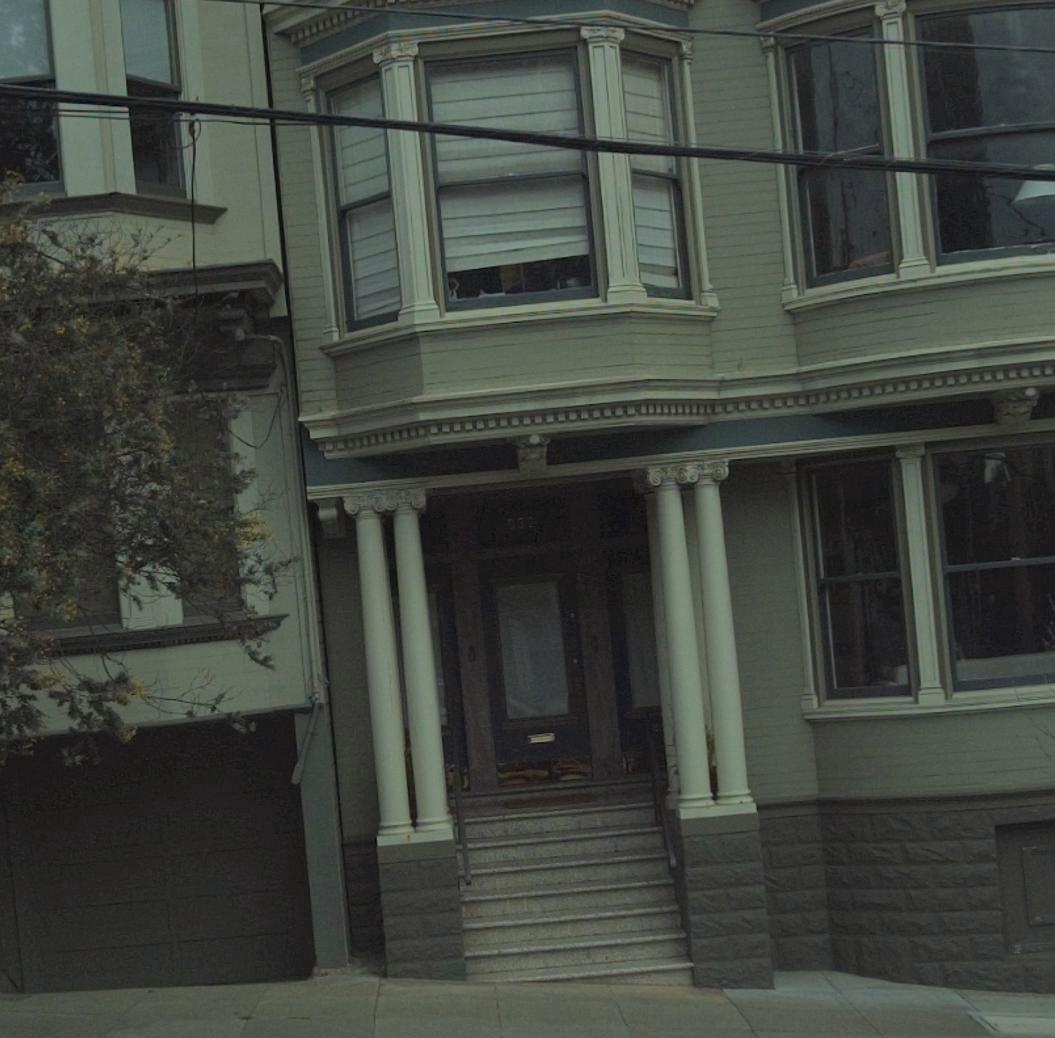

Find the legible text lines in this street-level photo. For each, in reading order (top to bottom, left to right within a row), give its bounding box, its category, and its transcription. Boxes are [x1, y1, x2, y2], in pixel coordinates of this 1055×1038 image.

[506, 516, 537, 531] StreetNumber: 832